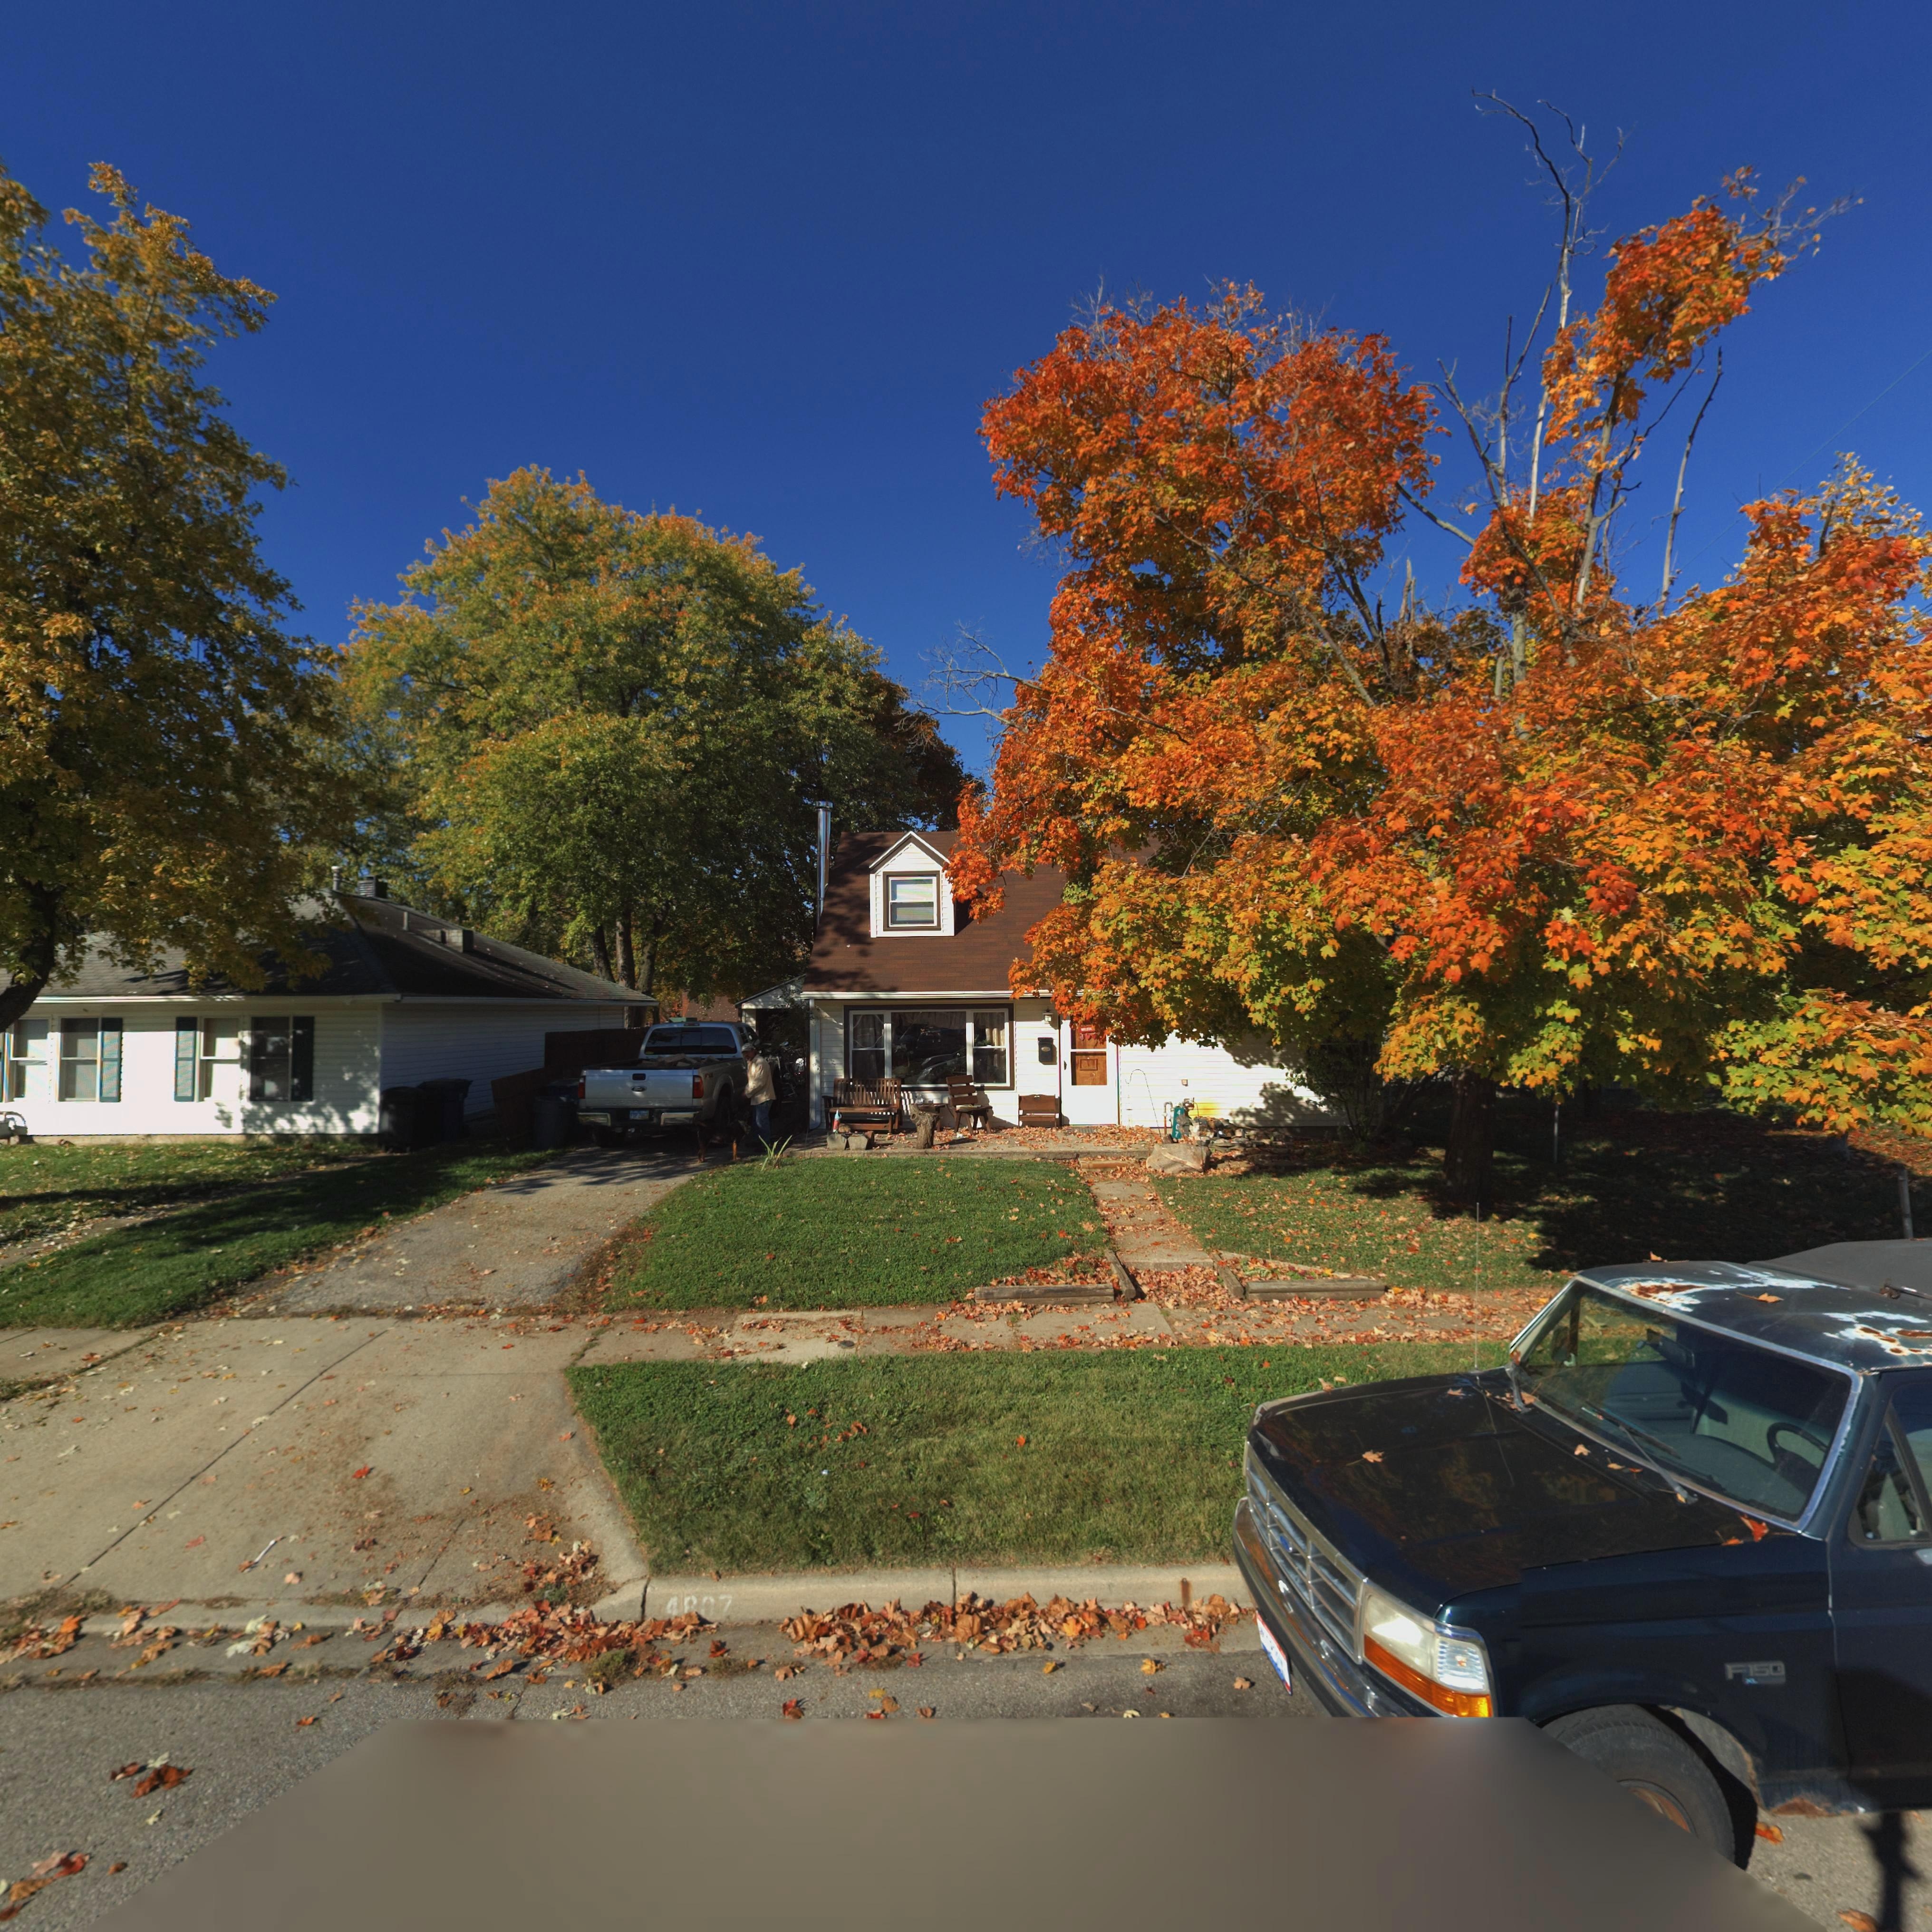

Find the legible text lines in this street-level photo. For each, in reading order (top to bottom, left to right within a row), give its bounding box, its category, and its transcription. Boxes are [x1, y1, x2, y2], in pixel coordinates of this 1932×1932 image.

[1174, 1108, 1181, 1139] StreetNumber: 4**7
[661, 1593, 736, 1622] StreetNumber: 4*07